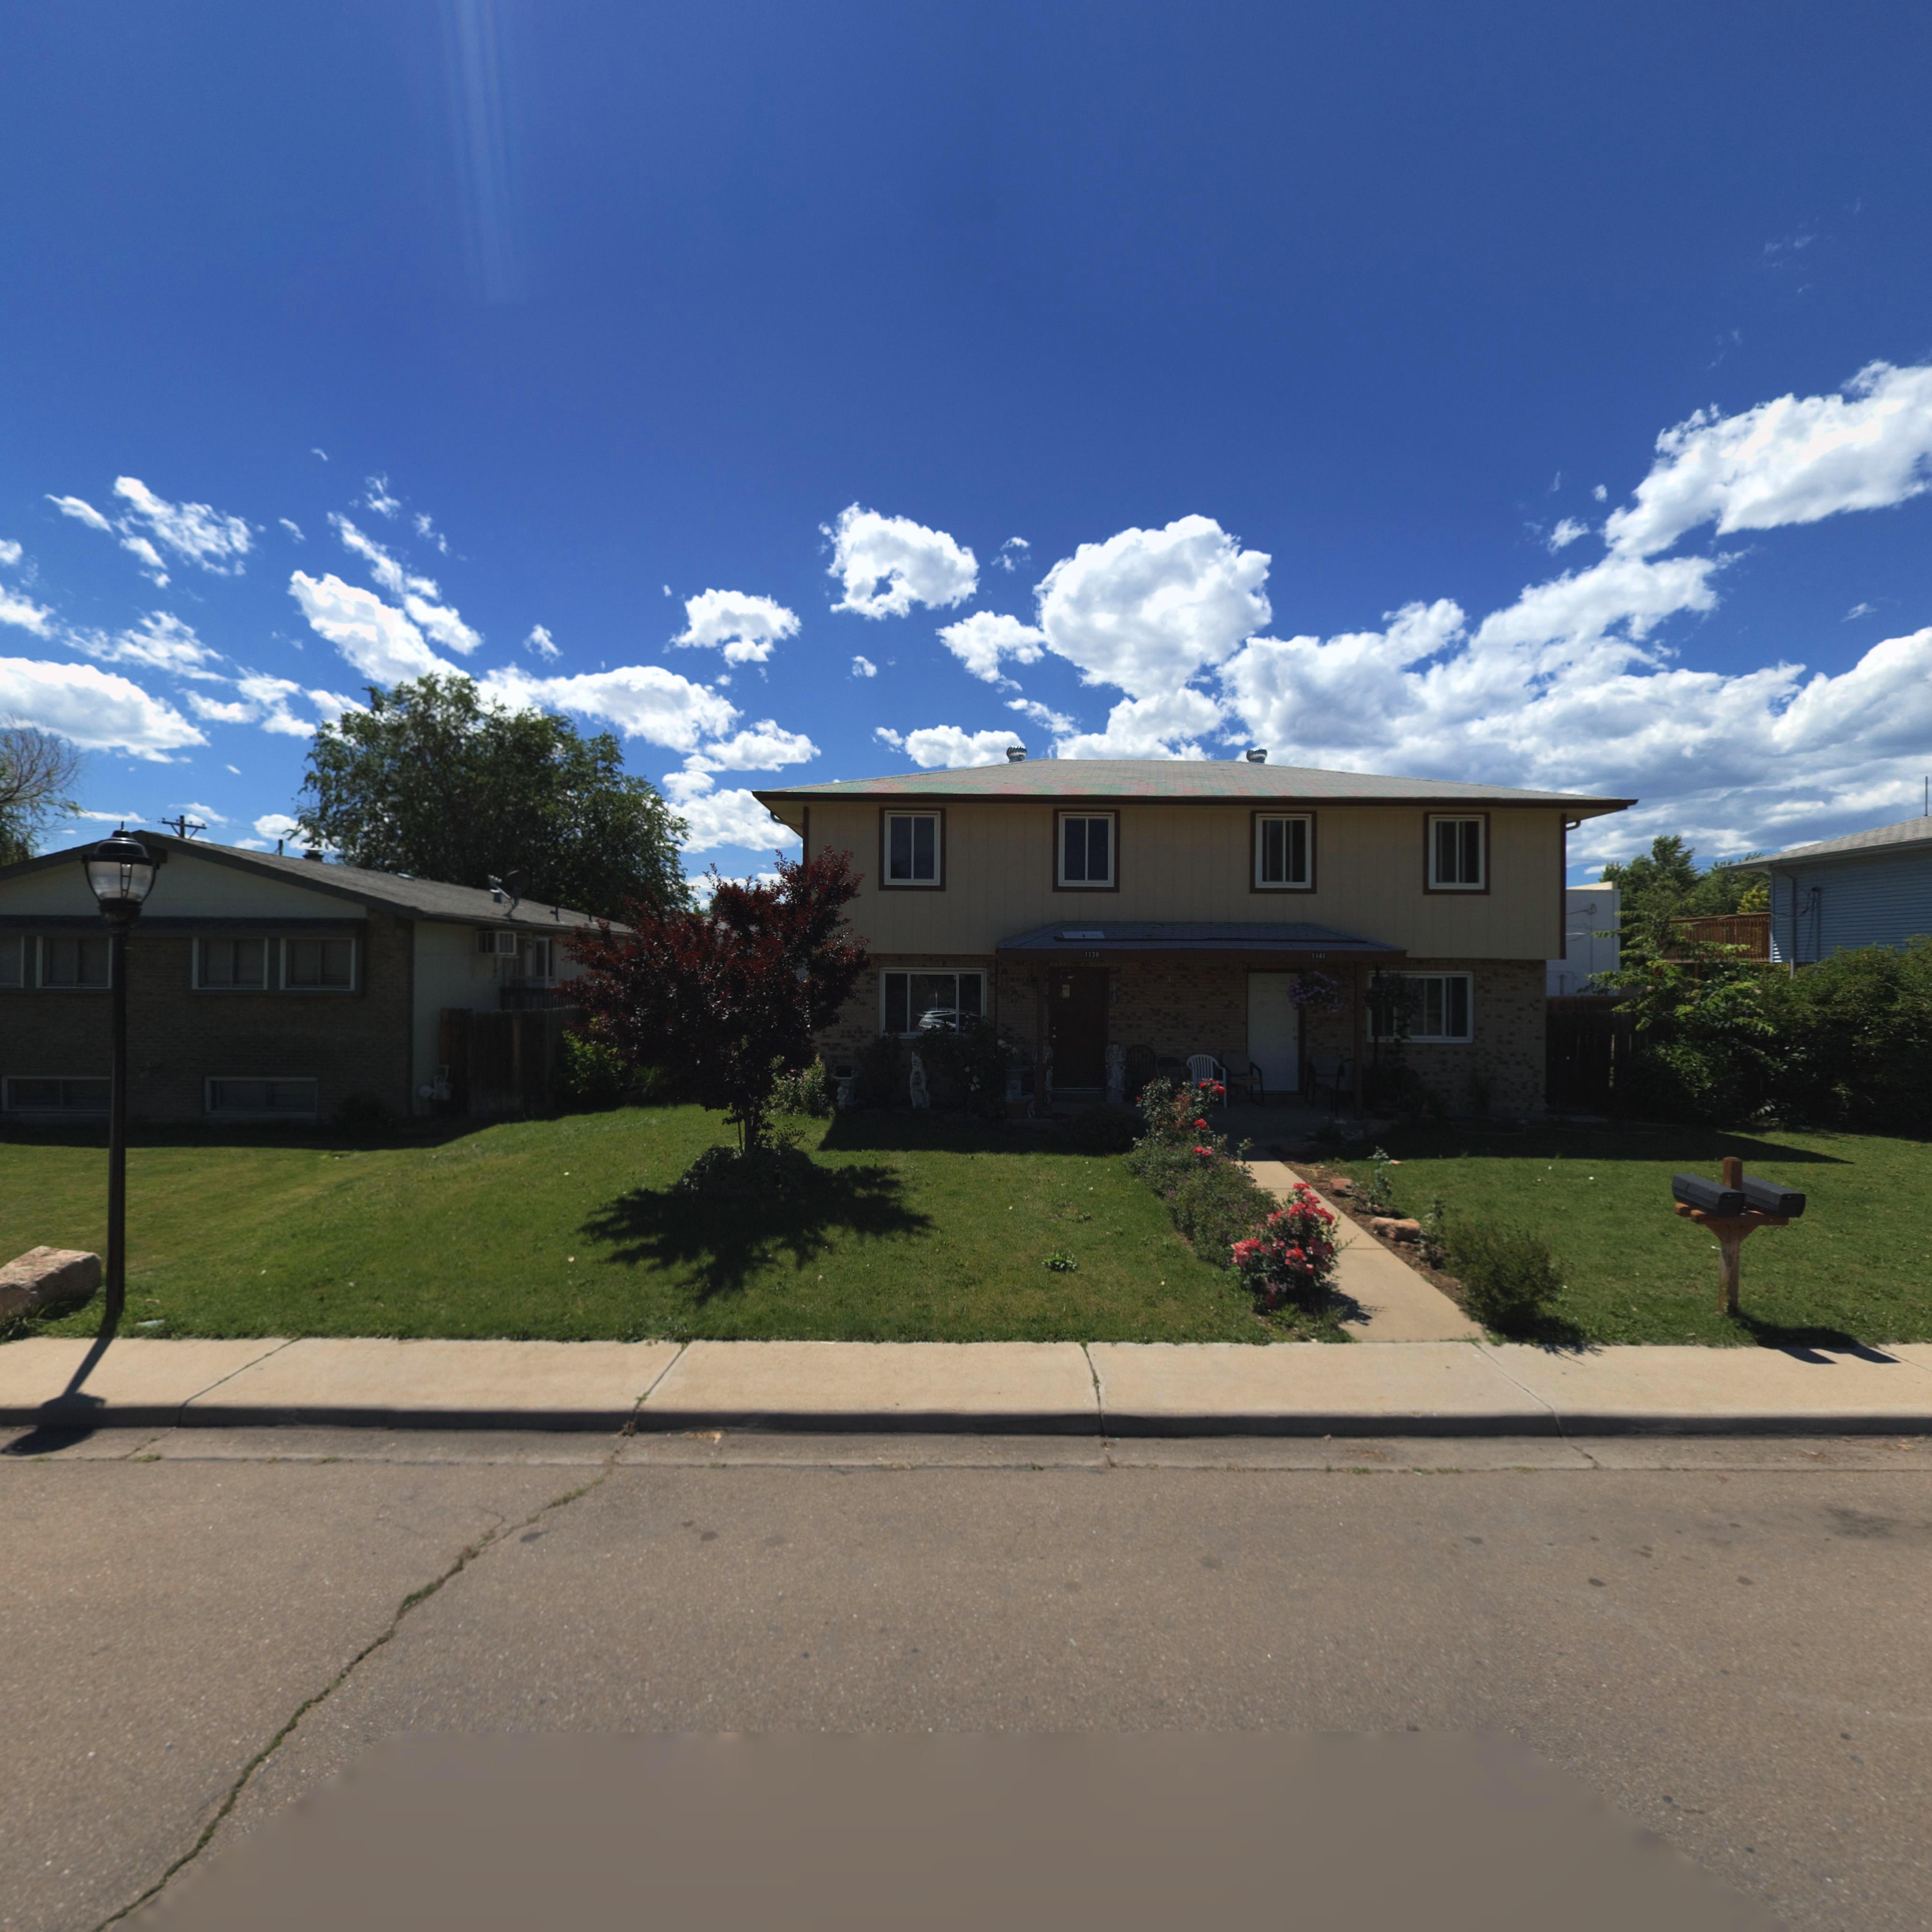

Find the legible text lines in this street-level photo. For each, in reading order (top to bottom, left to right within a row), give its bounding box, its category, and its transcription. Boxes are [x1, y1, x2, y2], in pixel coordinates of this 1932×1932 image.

[1085, 951, 1099, 957] StreetNumber: 1139
[1312, 952, 1325, 959] StreetNumber: 1141